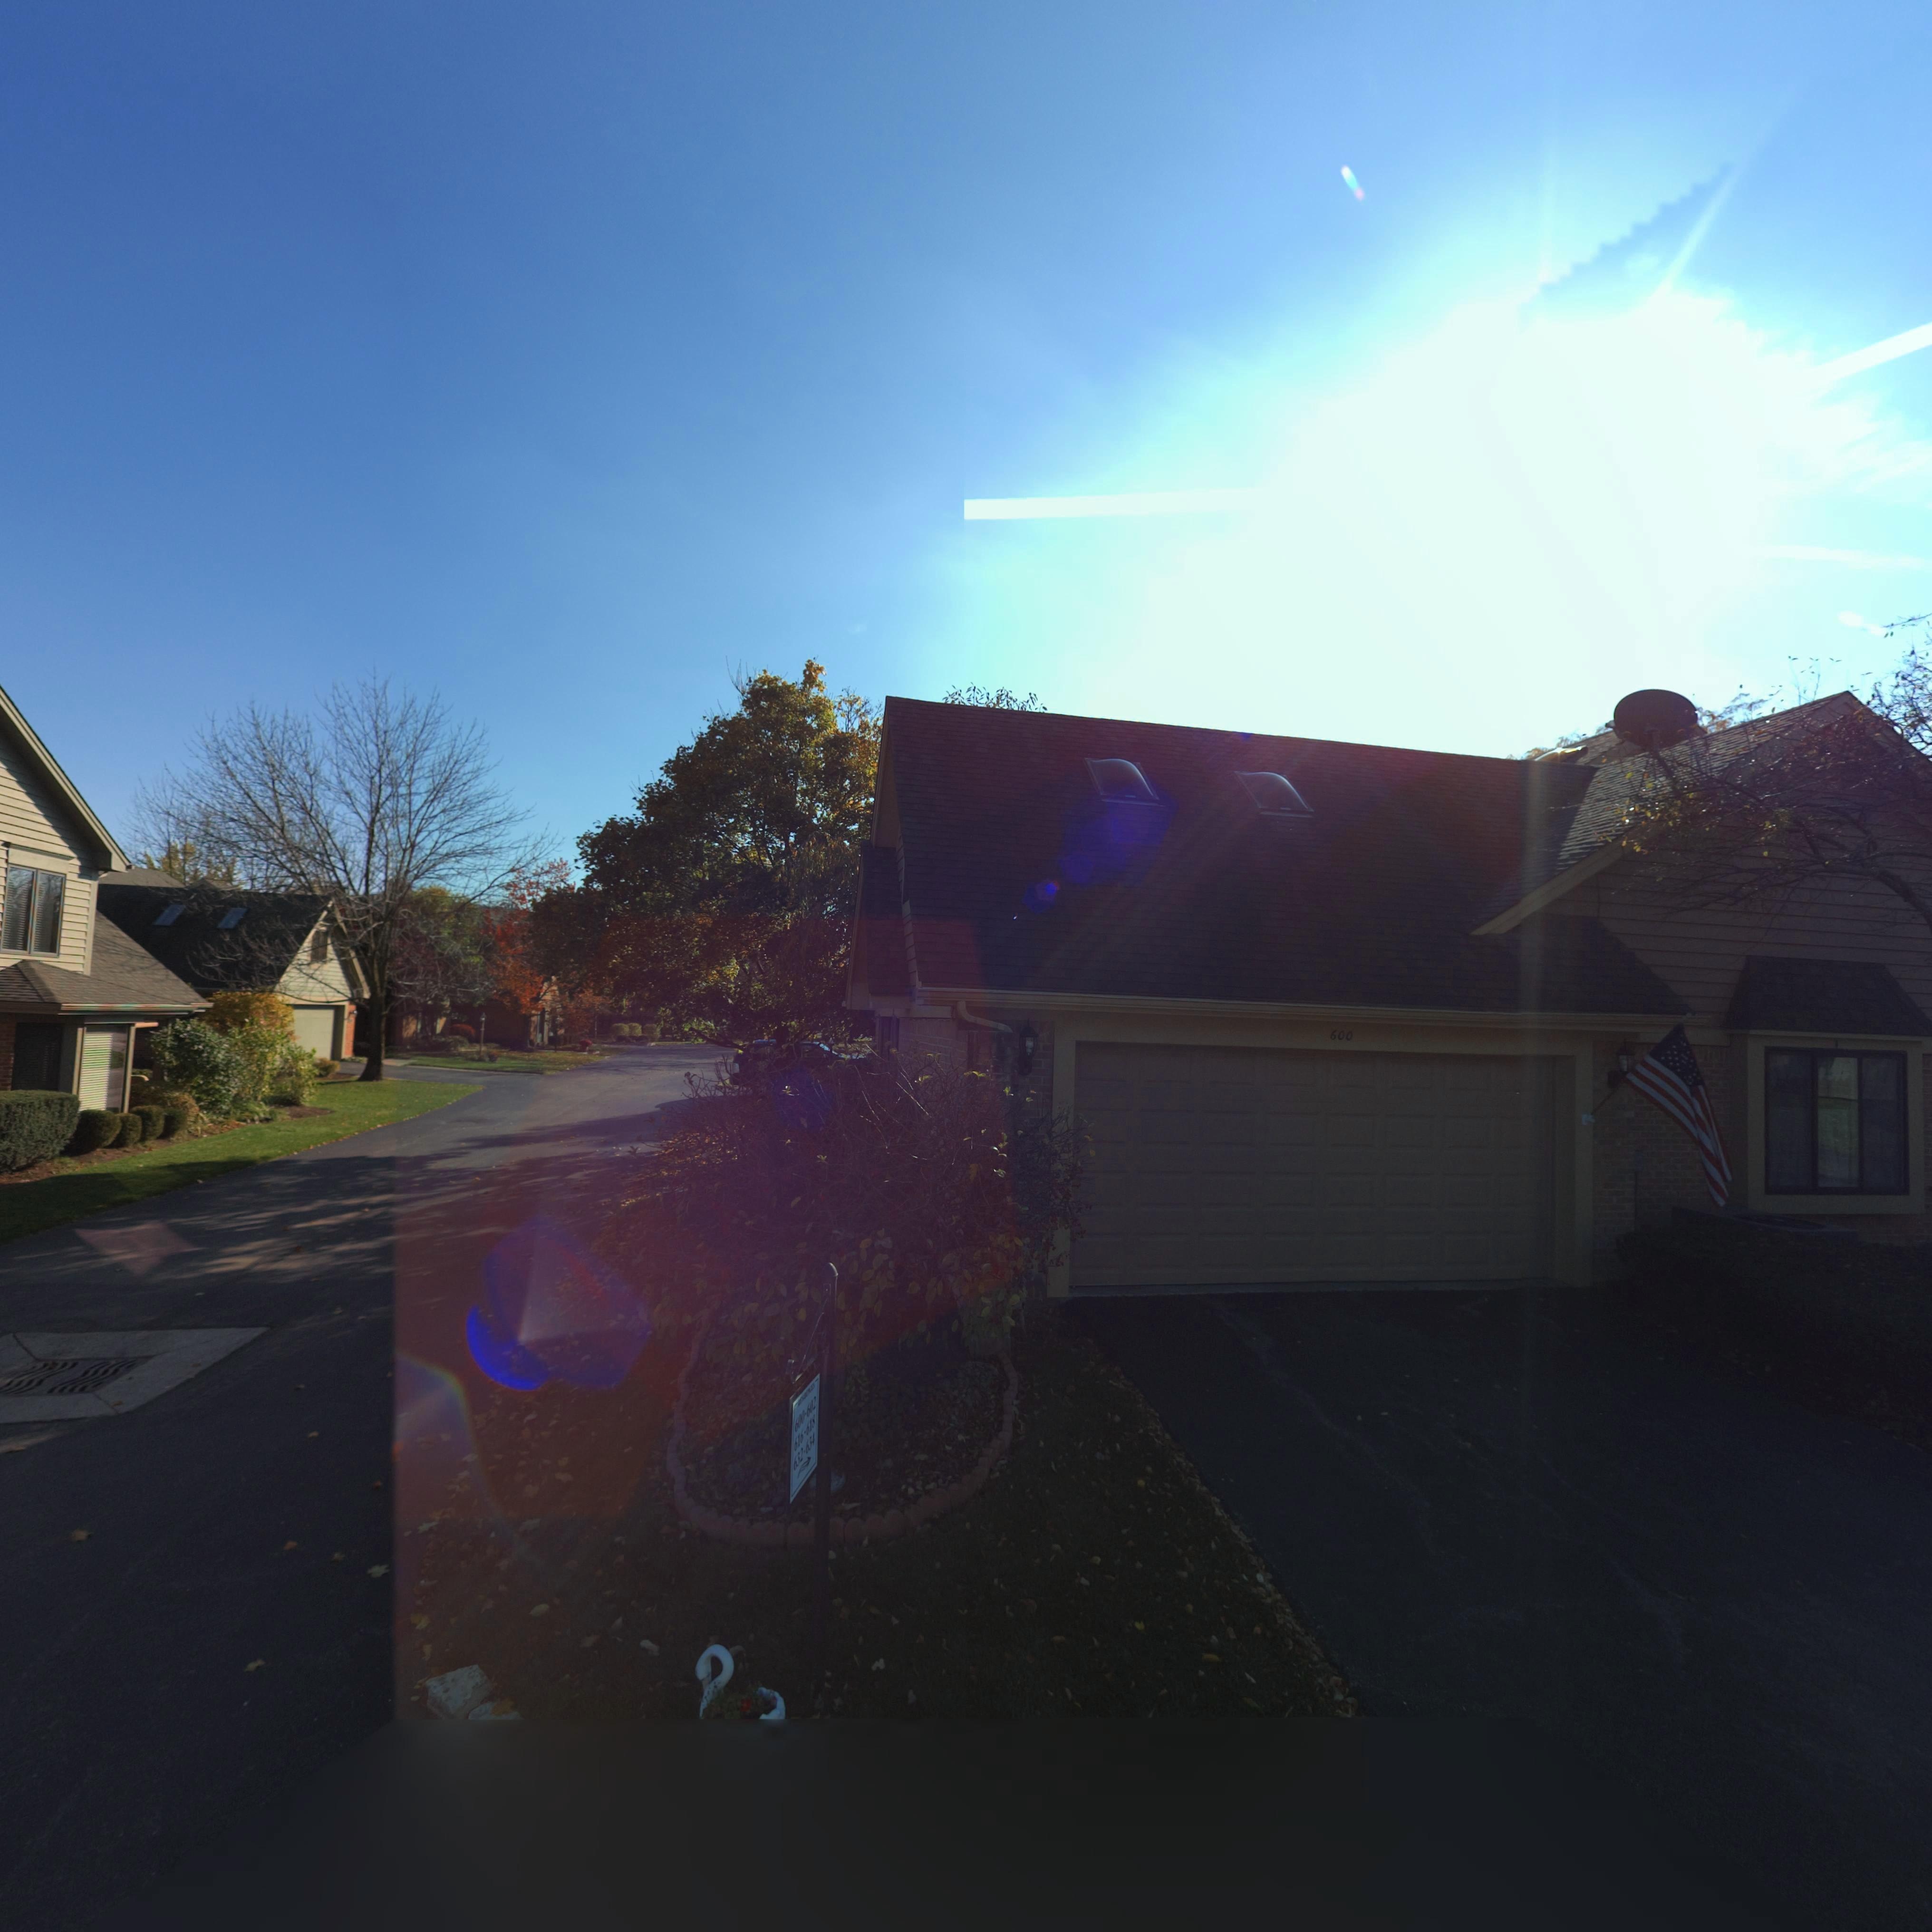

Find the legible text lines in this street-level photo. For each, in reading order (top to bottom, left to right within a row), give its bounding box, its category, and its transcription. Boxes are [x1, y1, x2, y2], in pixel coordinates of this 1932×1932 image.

[1329, 1028, 1354, 1042] StreetNumber: 600
[806, 1394, 817, 1418] StreetNumber: 602
[794, 1408, 806, 1434] StreetNumber: 600
[805, 1411, 816, 1437] StreetNumber: 618
[793, 1428, 804, 1452] StreetNumber: 616
[805, 1430, 816, 1455] StreetNumber: 634
[792, 1445, 805, 1472] StreetNumber: 632